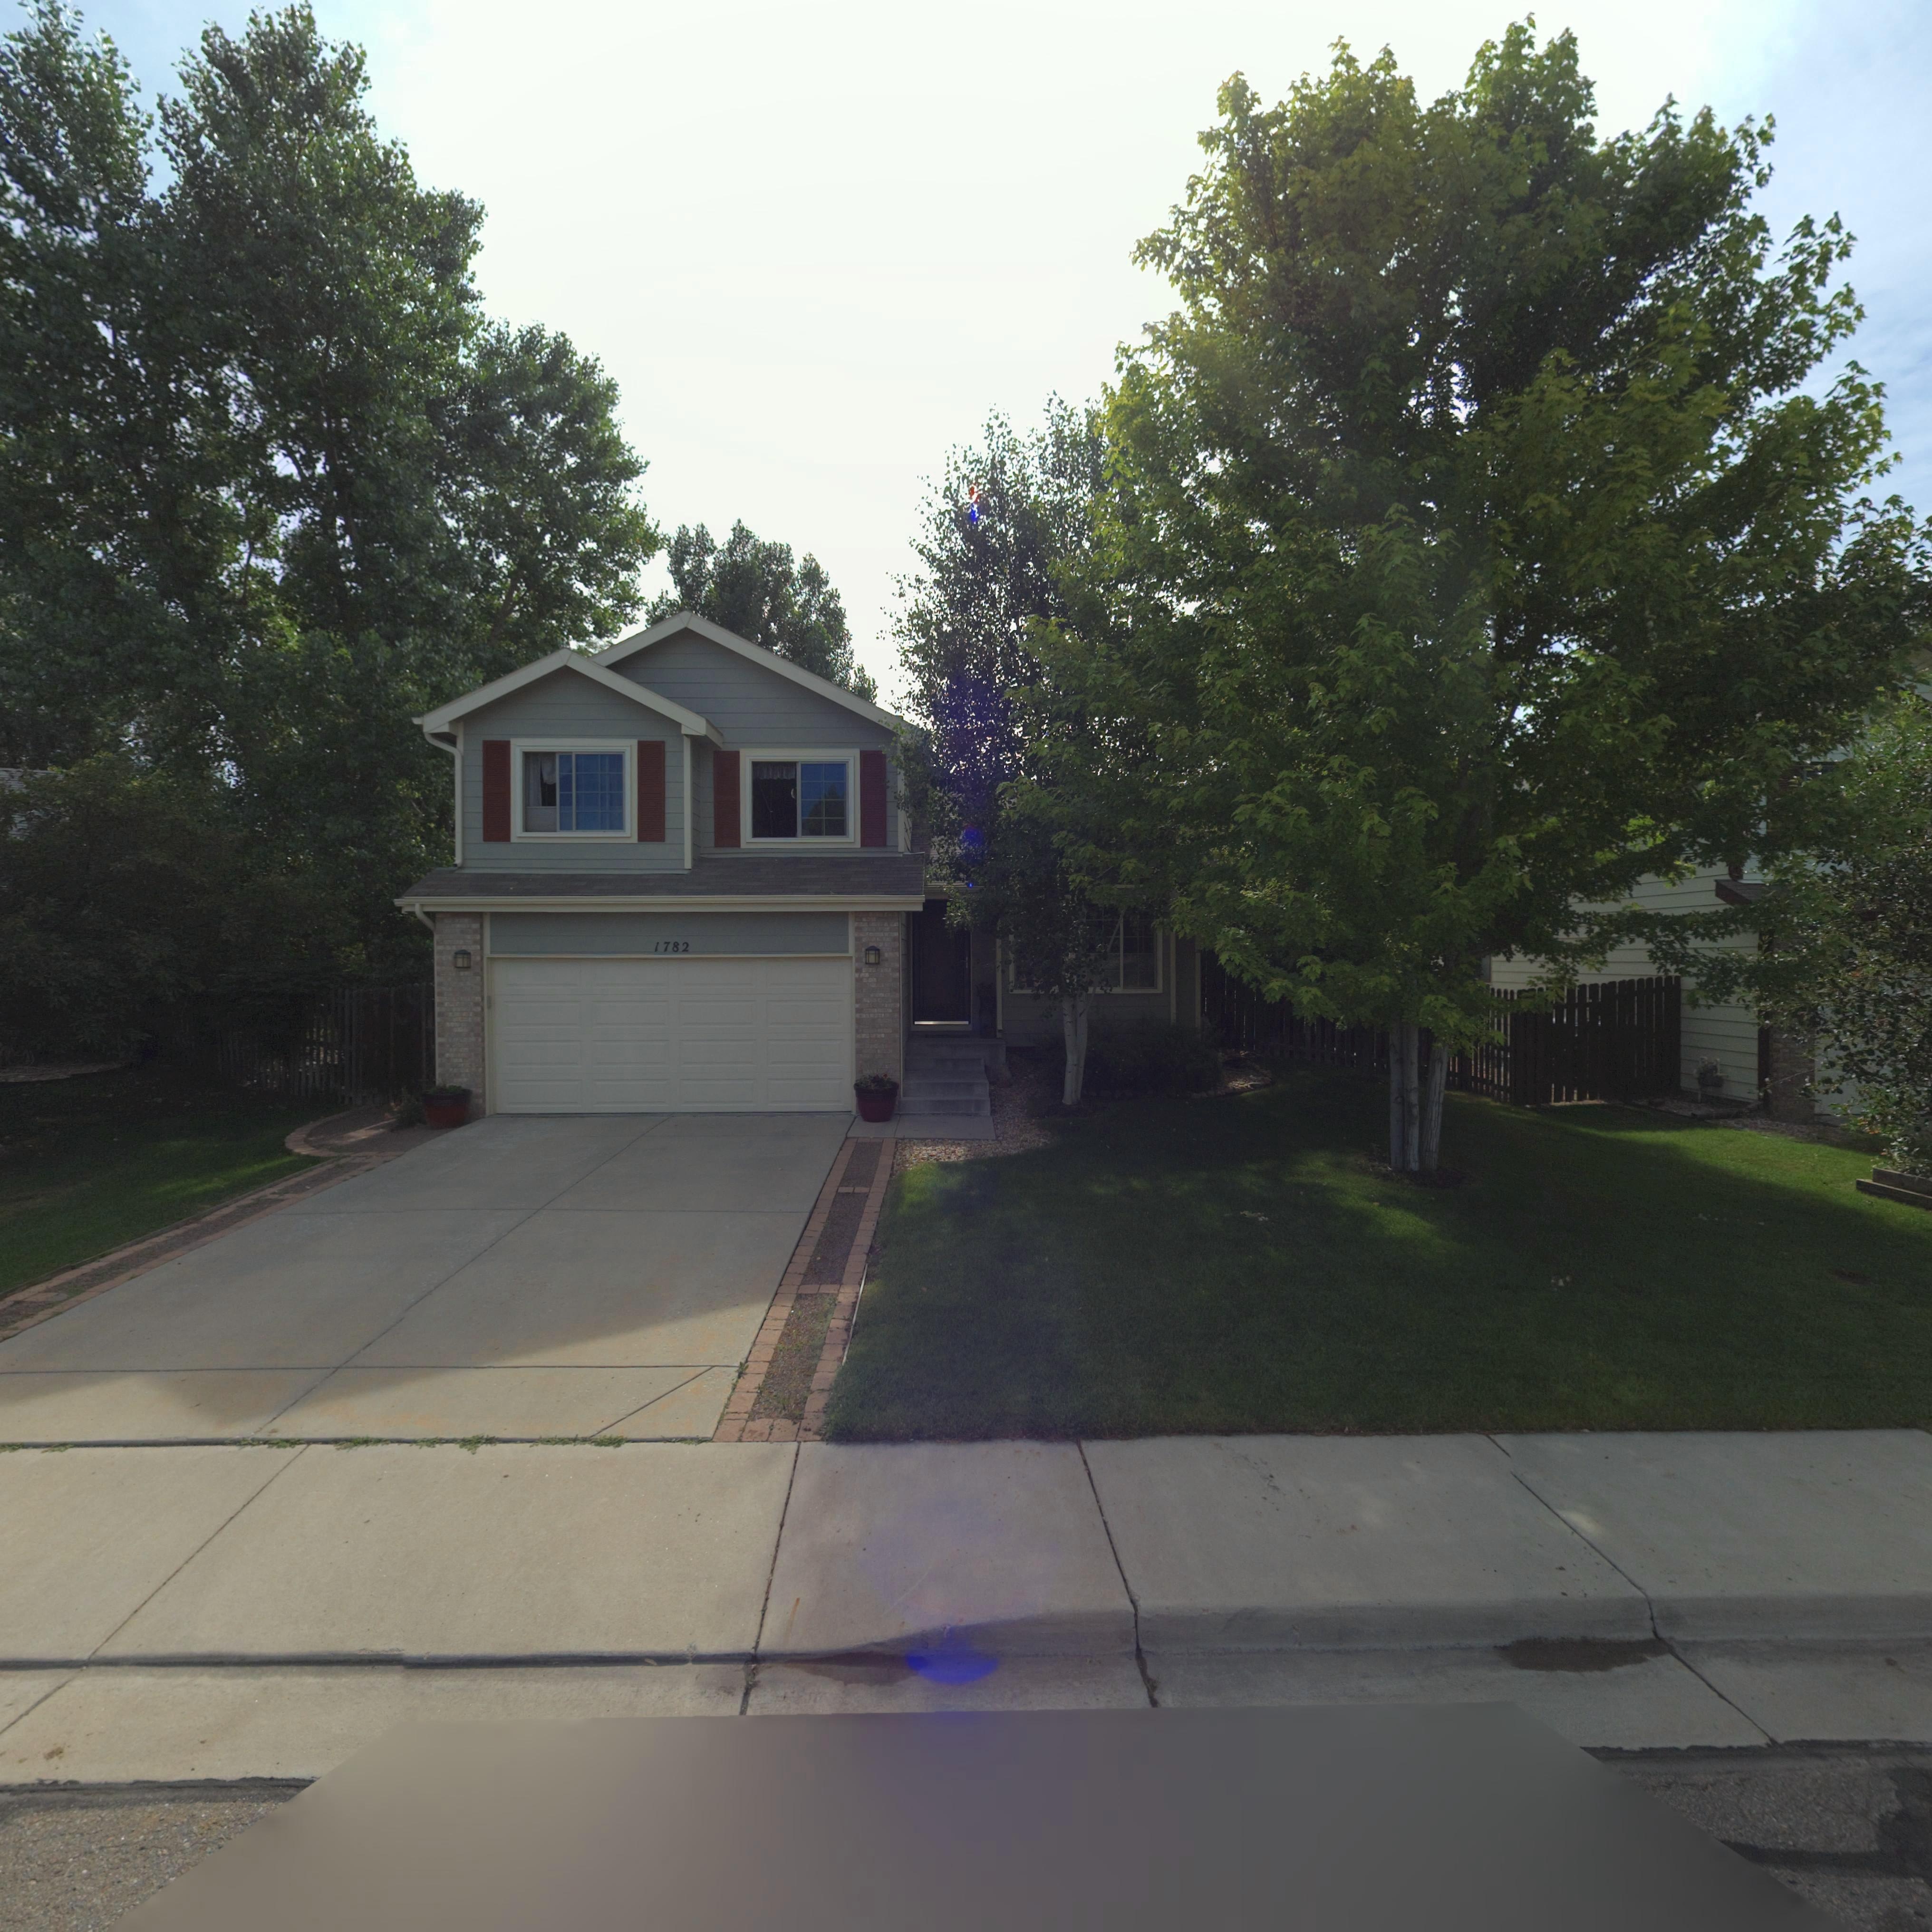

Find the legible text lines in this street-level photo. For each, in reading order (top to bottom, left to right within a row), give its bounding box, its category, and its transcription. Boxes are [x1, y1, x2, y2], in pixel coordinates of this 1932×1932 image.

[653, 940, 690, 953] StreetNumber: 1782